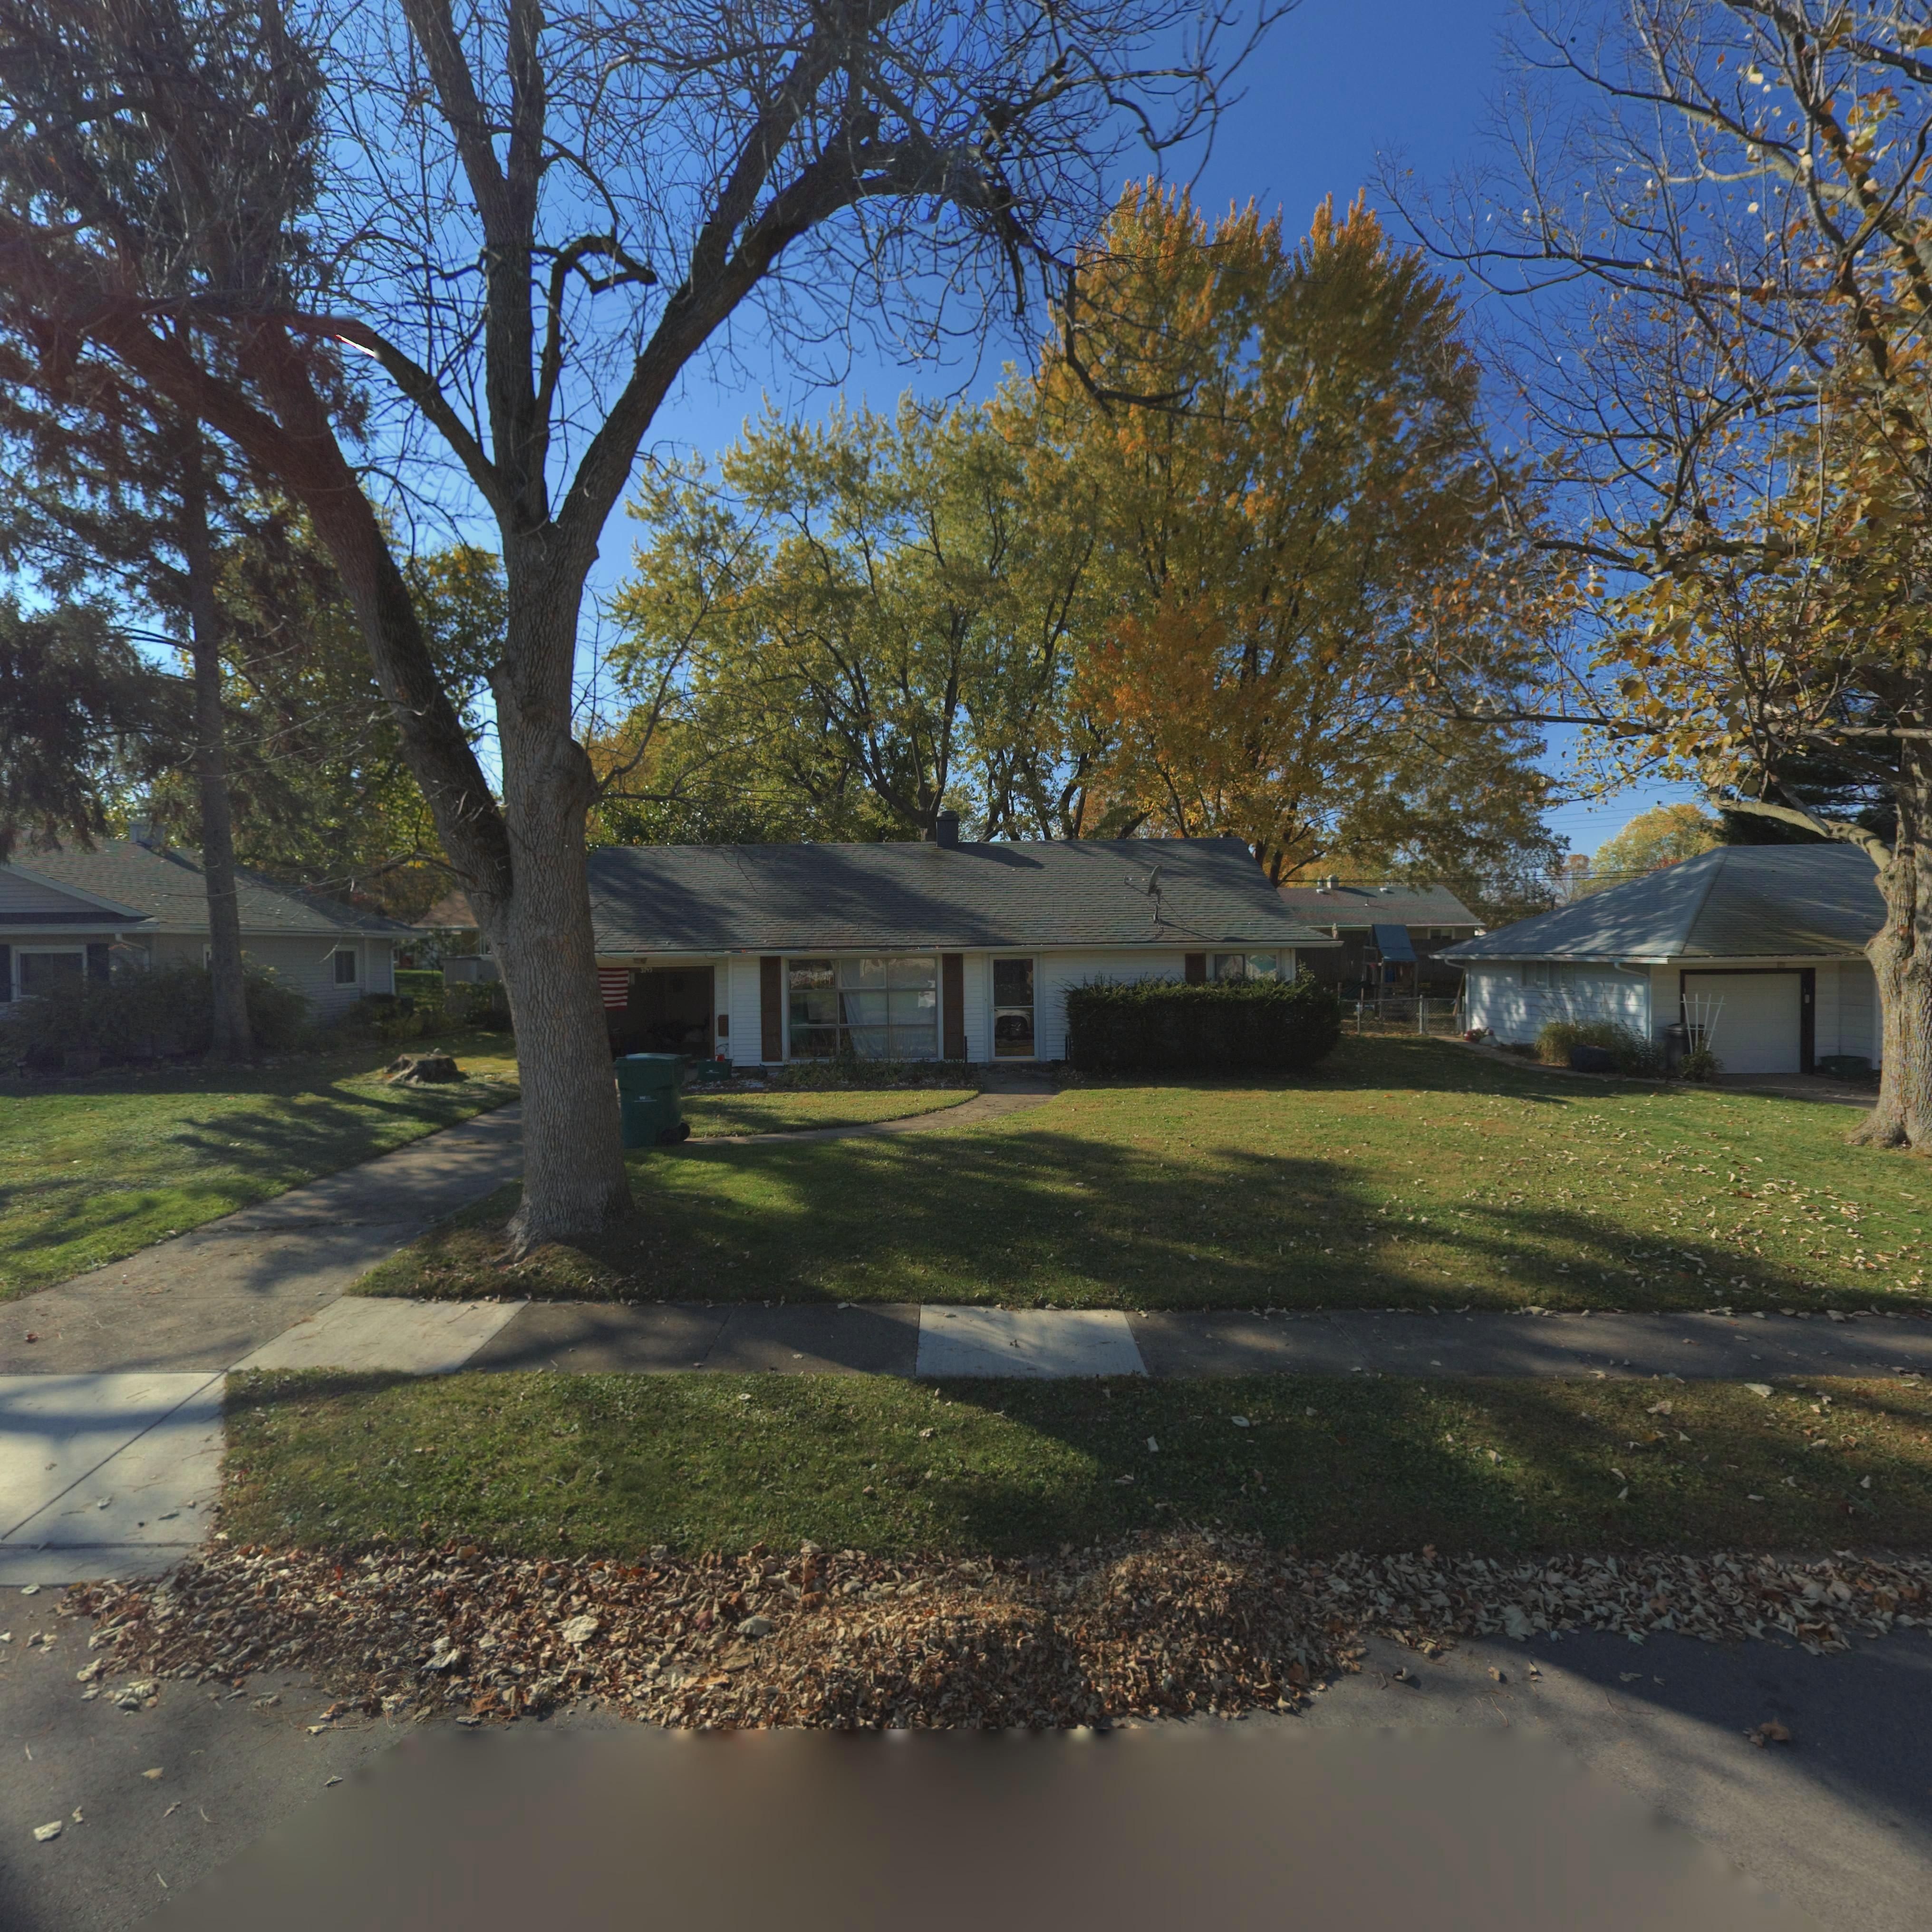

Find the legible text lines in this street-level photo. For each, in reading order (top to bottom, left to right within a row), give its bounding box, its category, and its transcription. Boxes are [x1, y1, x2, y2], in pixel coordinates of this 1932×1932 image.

[640, 966, 653, 973] StreetNumber: 3749
[638, 1095, 653, 1100] None: WM